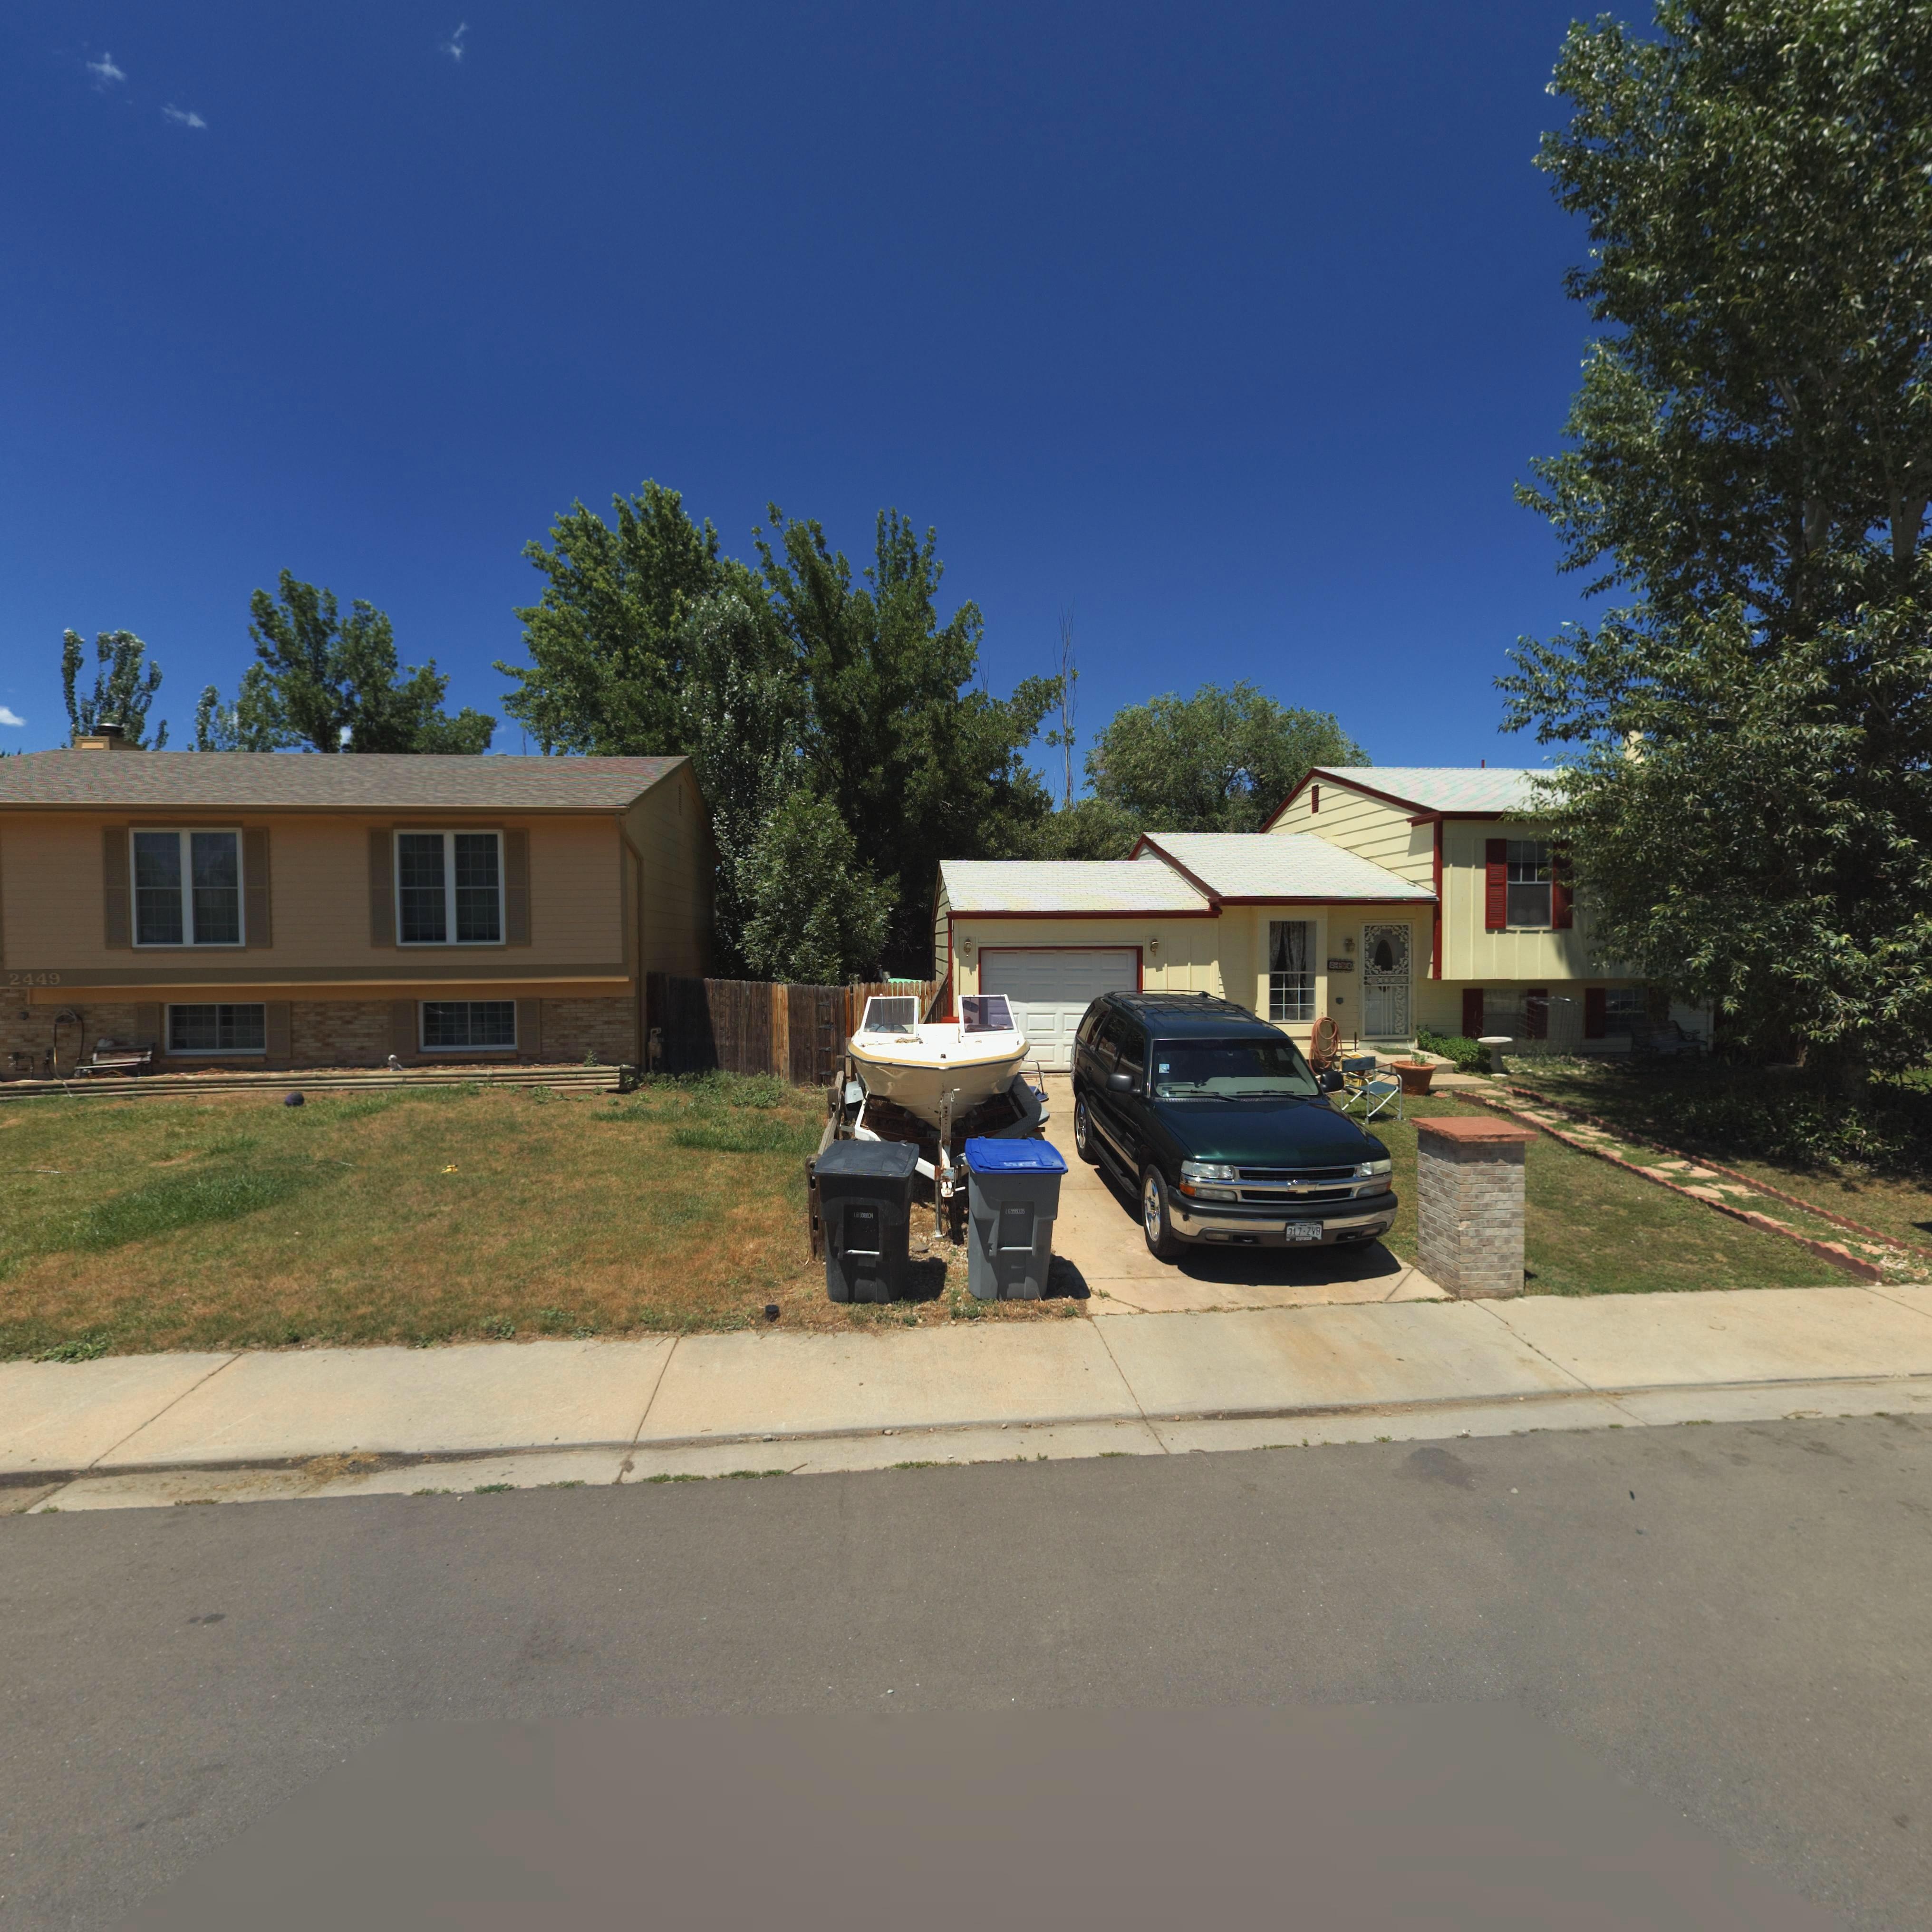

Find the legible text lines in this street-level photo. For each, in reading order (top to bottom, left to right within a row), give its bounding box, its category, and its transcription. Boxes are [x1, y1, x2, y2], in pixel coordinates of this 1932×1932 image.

[1330, 962, 1352, 968] StreetNumber: 24*4
[9, 971, 62, 987] StreetNumber: 2449